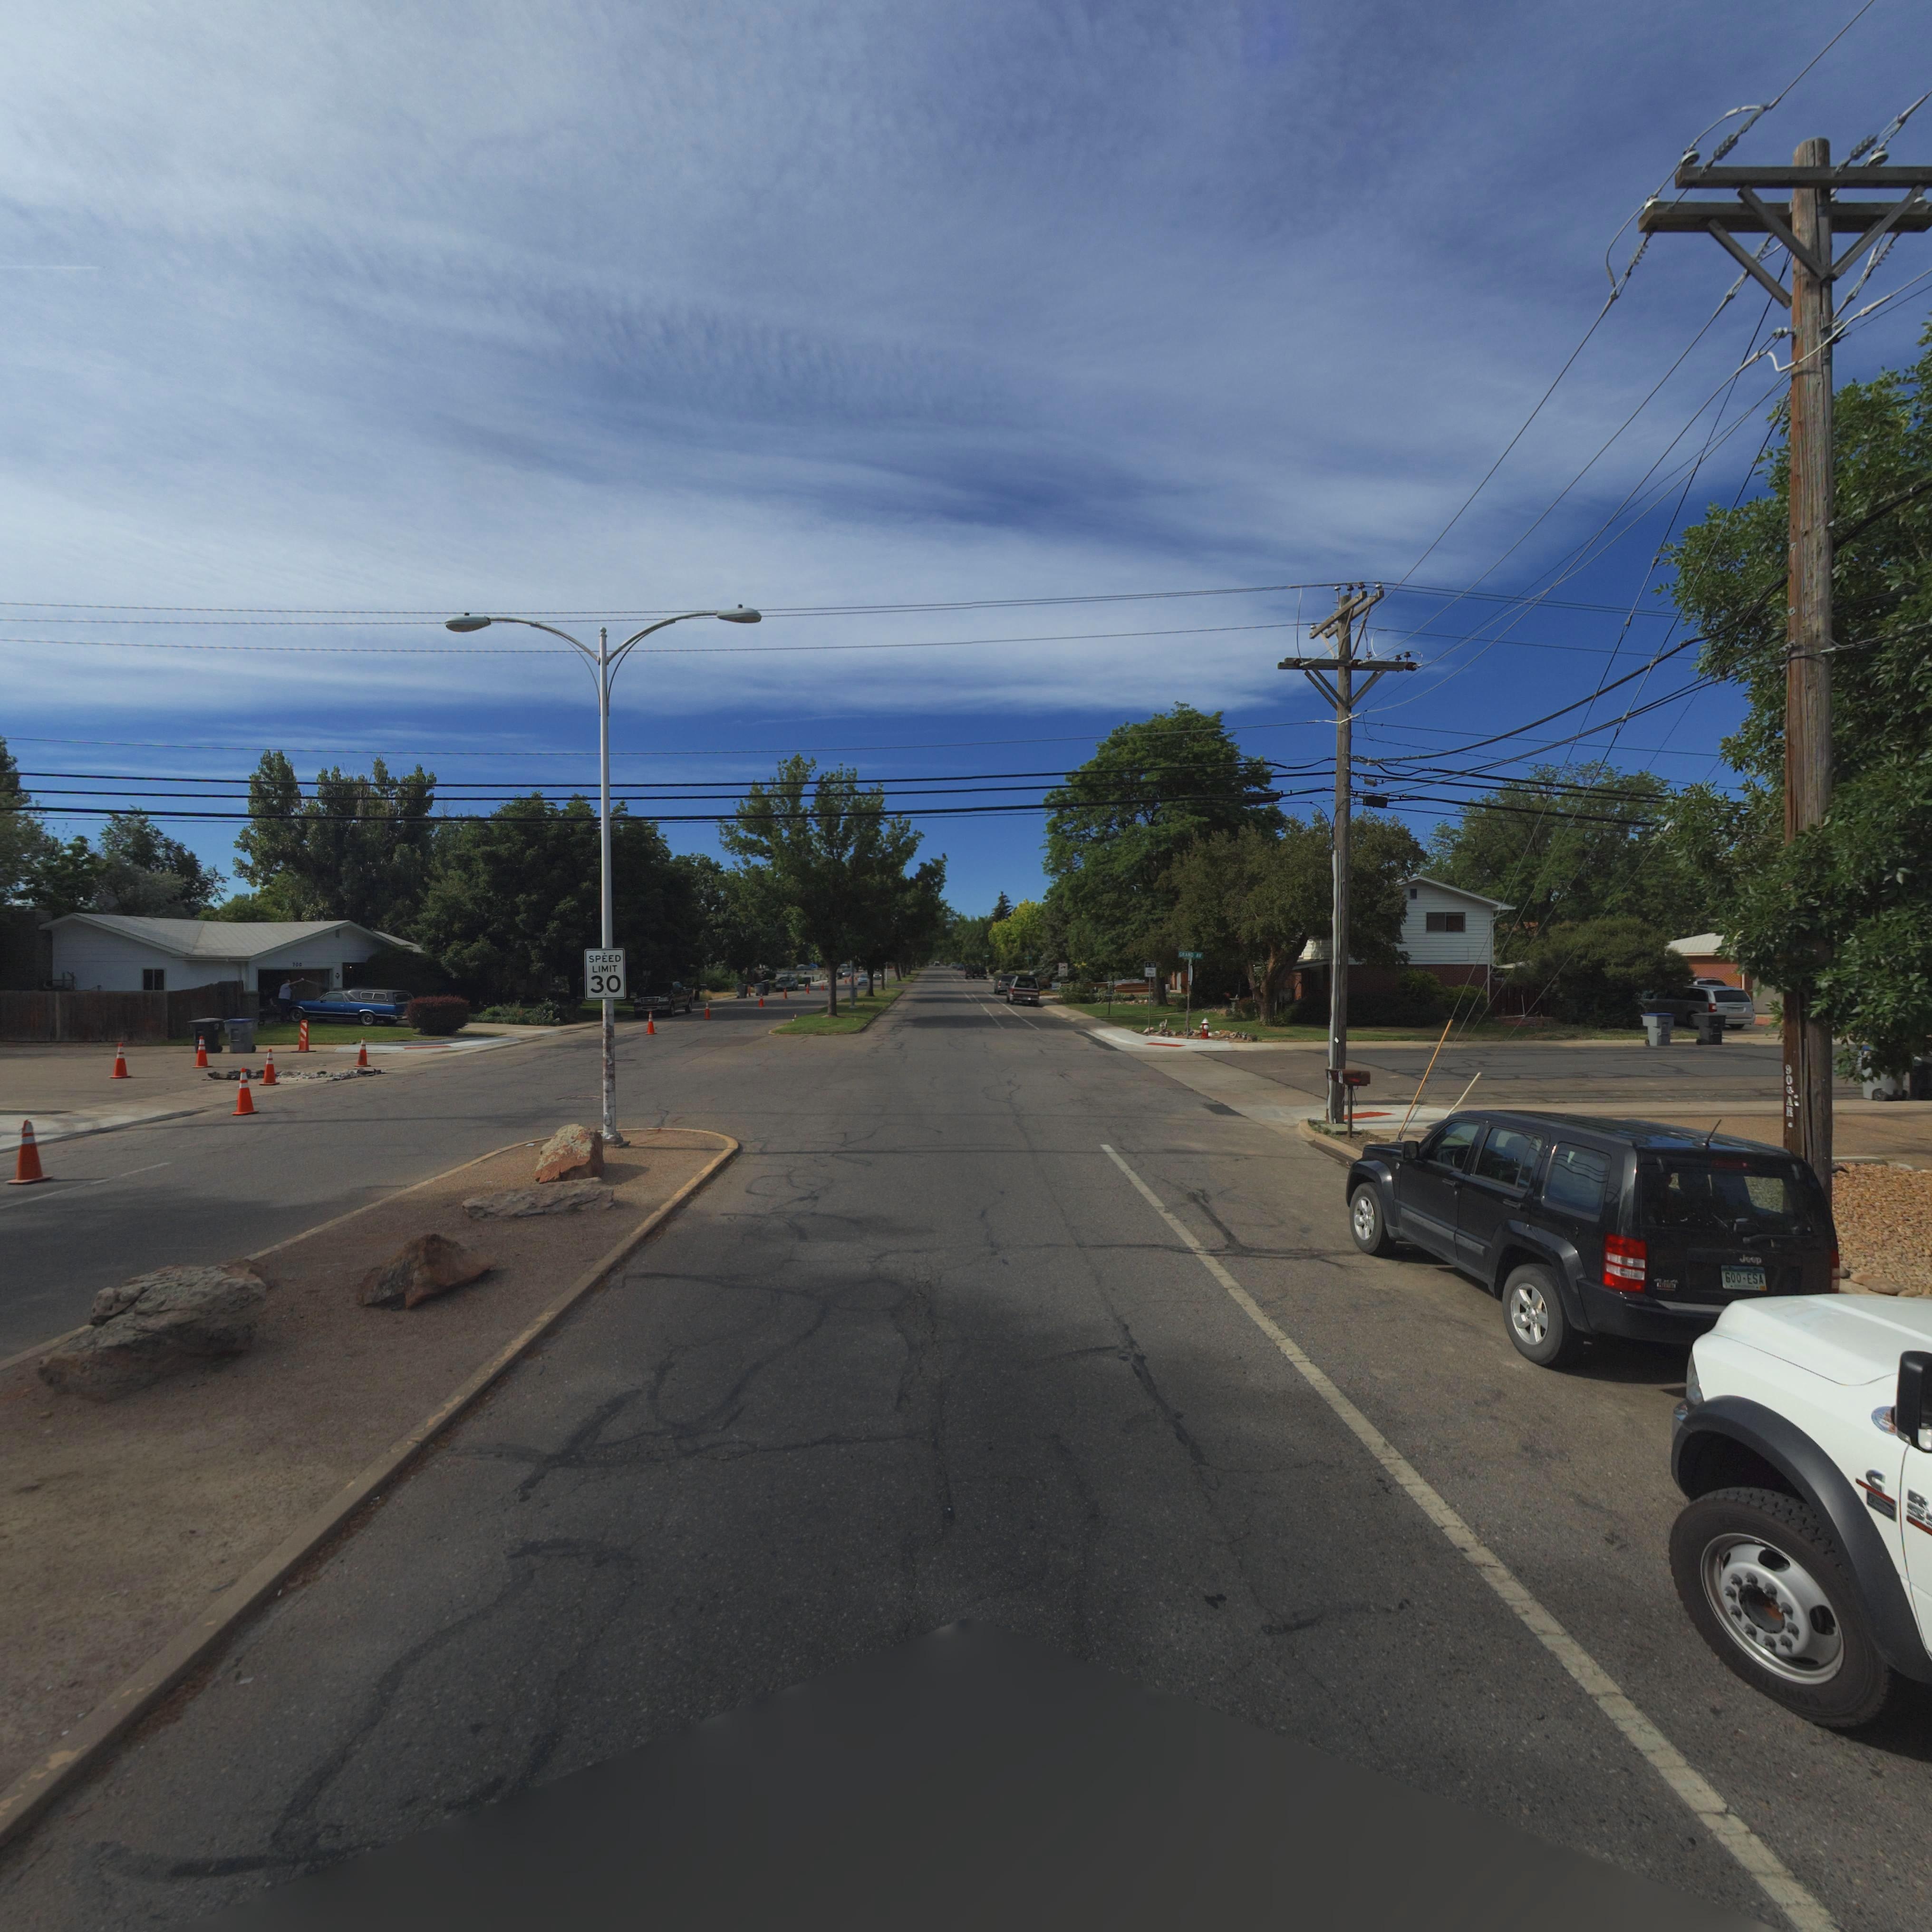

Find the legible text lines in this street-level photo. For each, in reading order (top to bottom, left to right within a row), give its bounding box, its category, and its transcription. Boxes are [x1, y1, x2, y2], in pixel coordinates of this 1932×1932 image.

[1179, 951, 1203, 958] StreetName: GRAND AV
[291, 962, 302, 967] StreetNumber: 70*